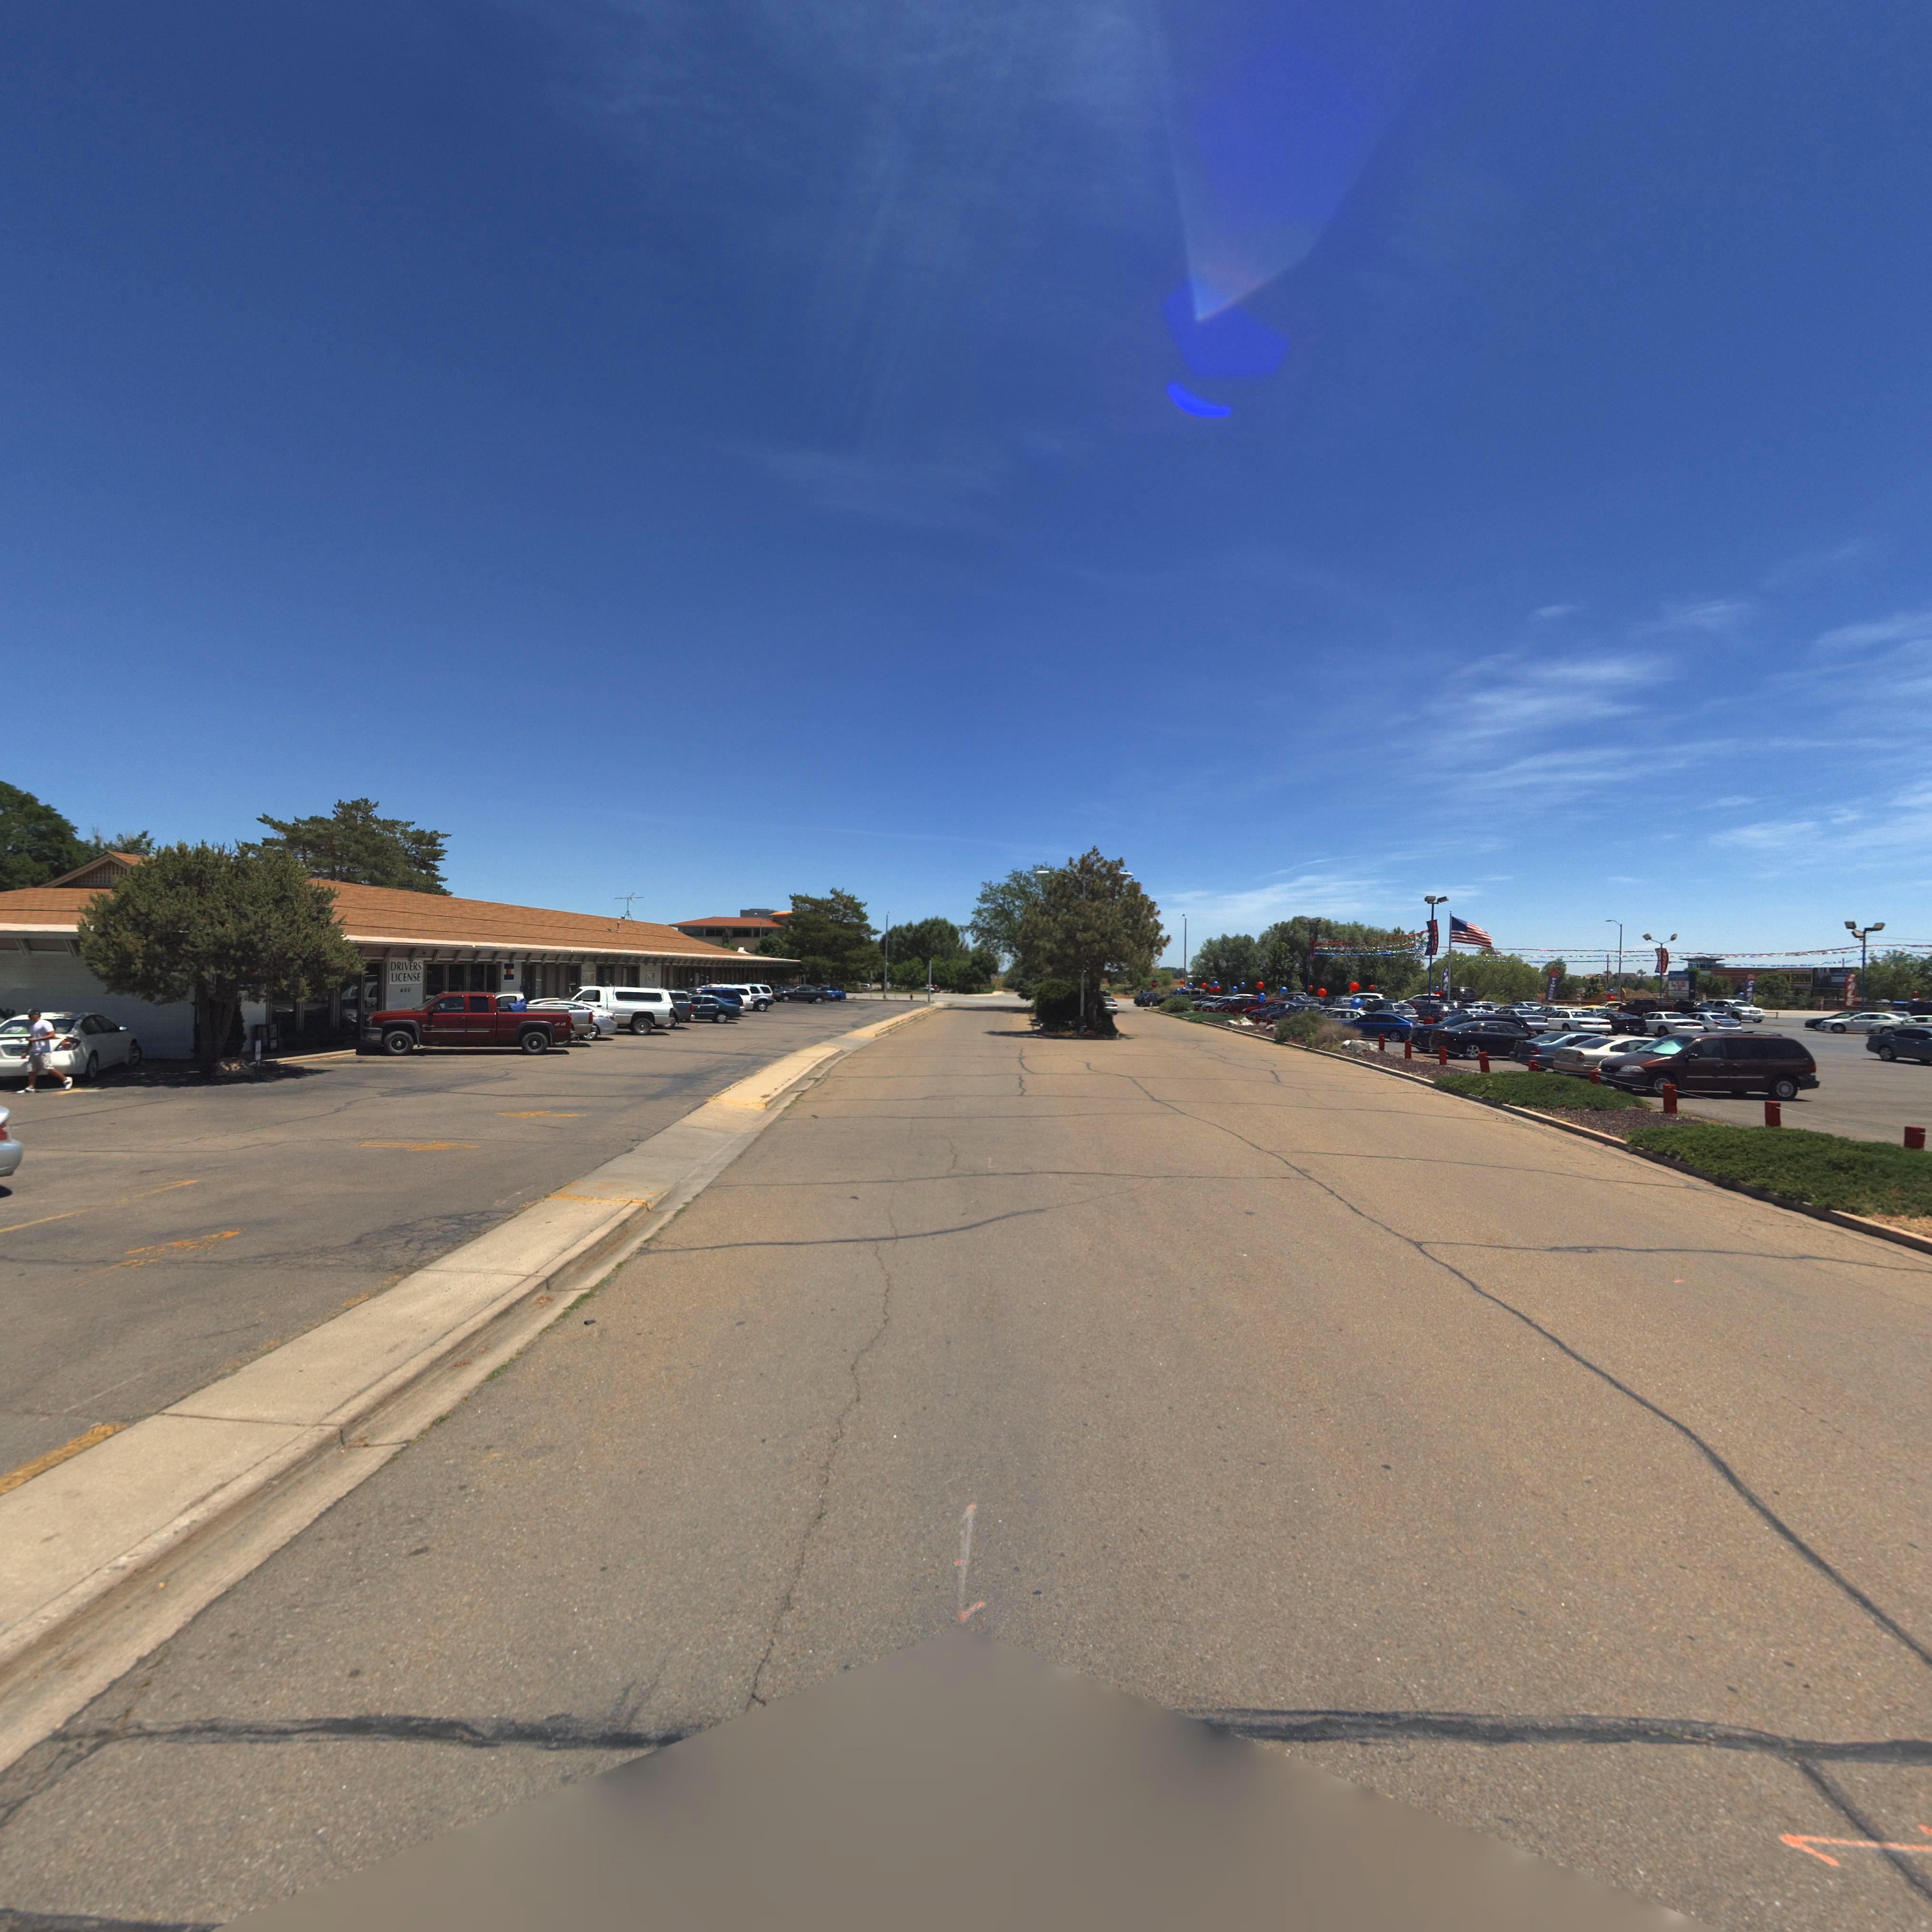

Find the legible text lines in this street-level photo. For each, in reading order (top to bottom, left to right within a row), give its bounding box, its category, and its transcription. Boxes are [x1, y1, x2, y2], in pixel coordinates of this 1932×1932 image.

[390, 961, 422, 971] BusinessName: DRIVERS
[391, 972, 421, 982] BusinessName: LICENSE
[400, 986, 411, 993] StreetNumber: 600